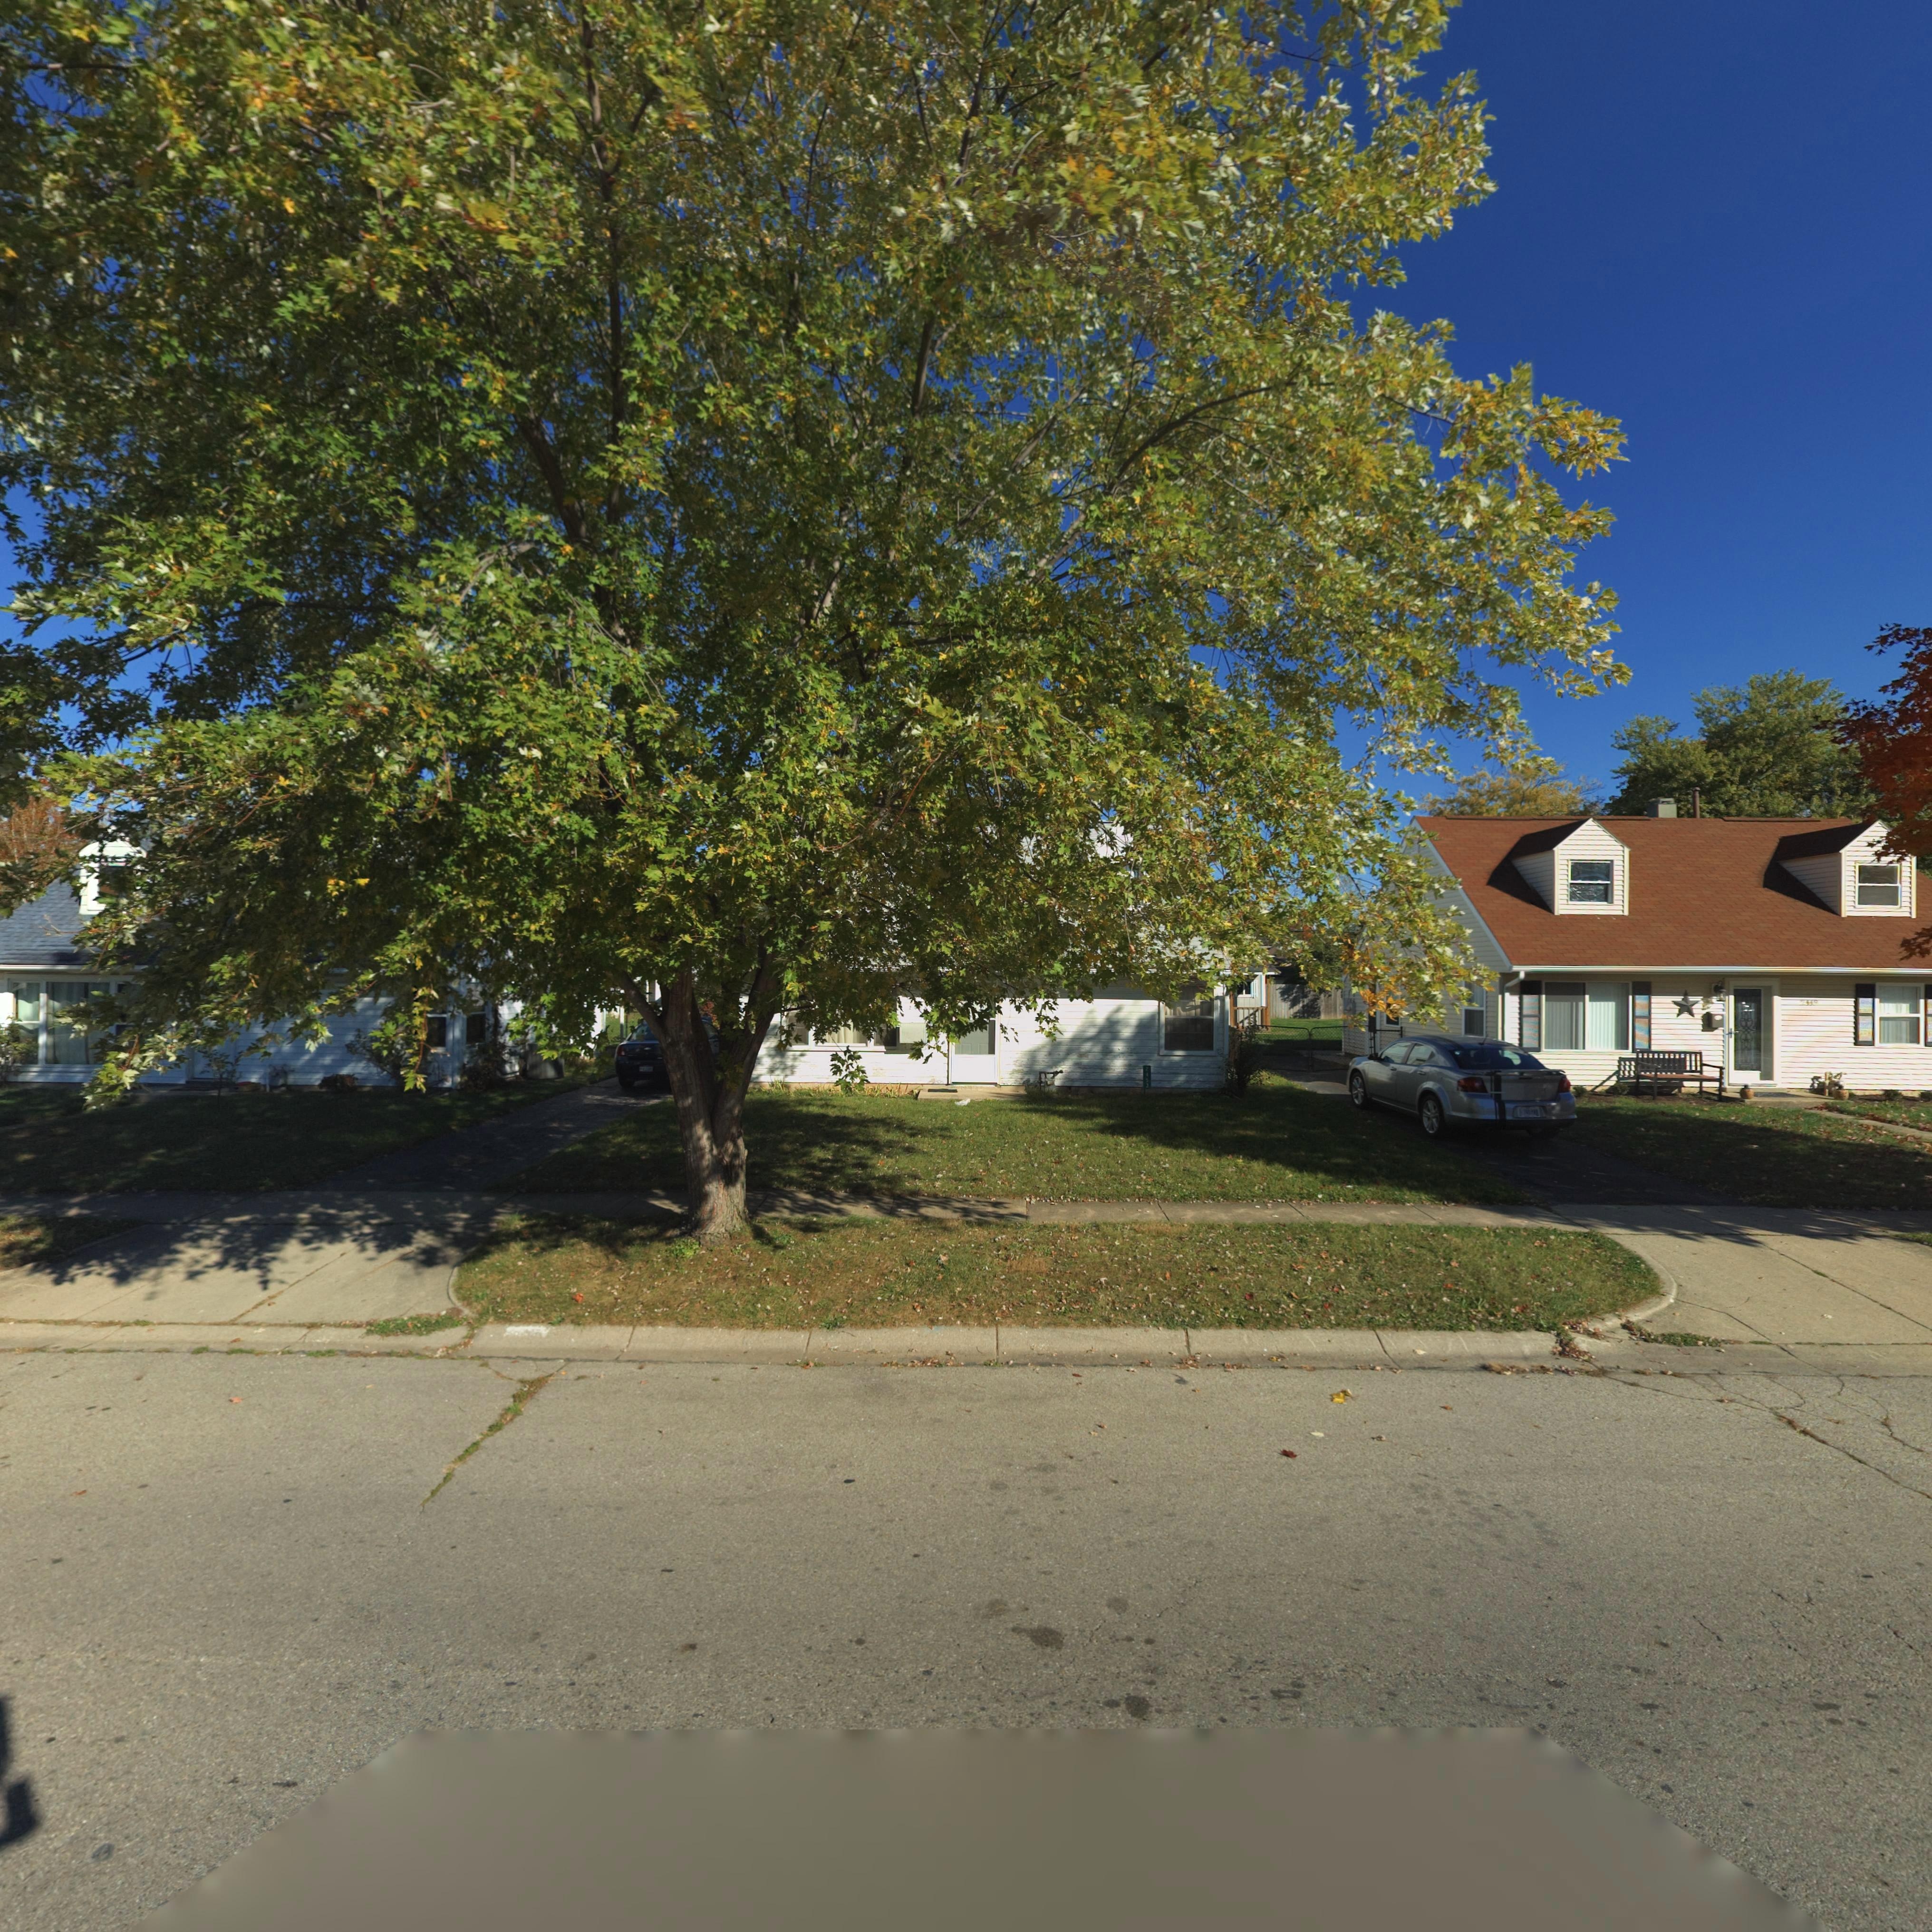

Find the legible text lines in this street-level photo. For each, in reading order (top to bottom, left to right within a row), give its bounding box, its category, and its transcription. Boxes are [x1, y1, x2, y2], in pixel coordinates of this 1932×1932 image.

[1798, 999, 1819, 1006] StreetNumber: 244*
[1144, 1066, 1150, 1089] StreetNumber: 2453